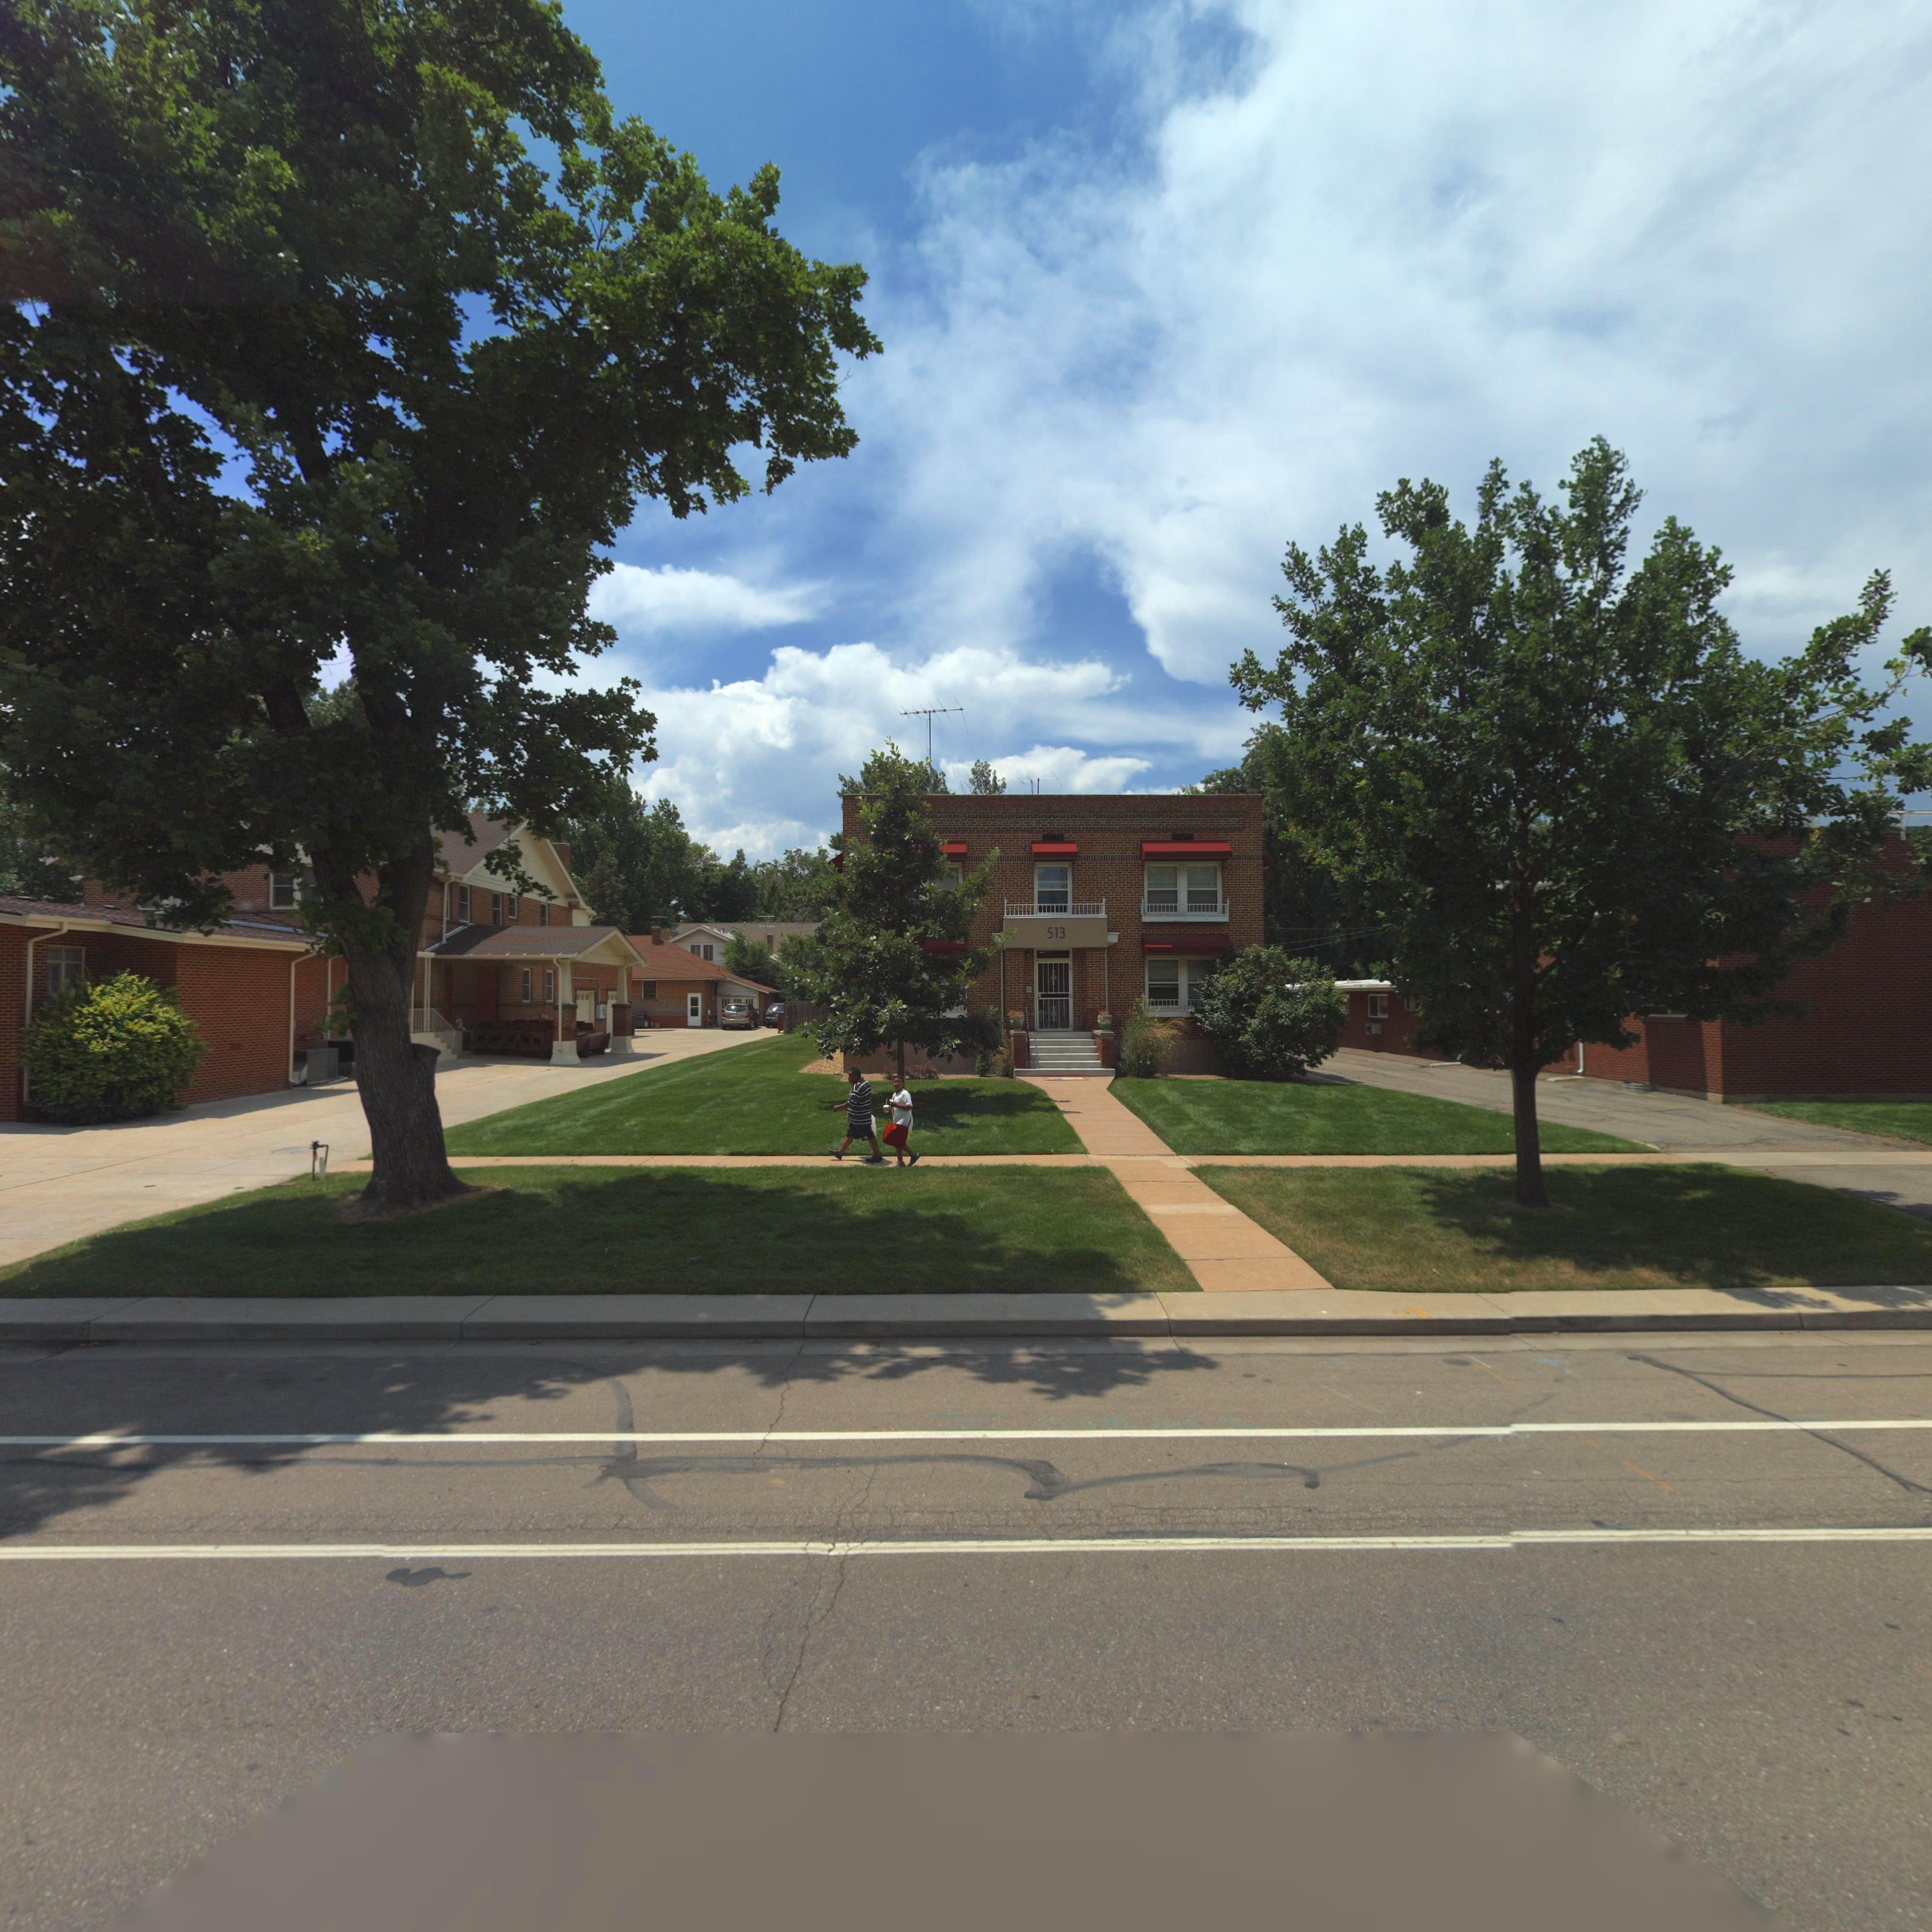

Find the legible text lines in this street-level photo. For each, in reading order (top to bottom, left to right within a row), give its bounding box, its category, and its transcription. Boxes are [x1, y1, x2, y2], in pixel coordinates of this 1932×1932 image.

[1046, 926, 1066, 939] StreetNumber: 513